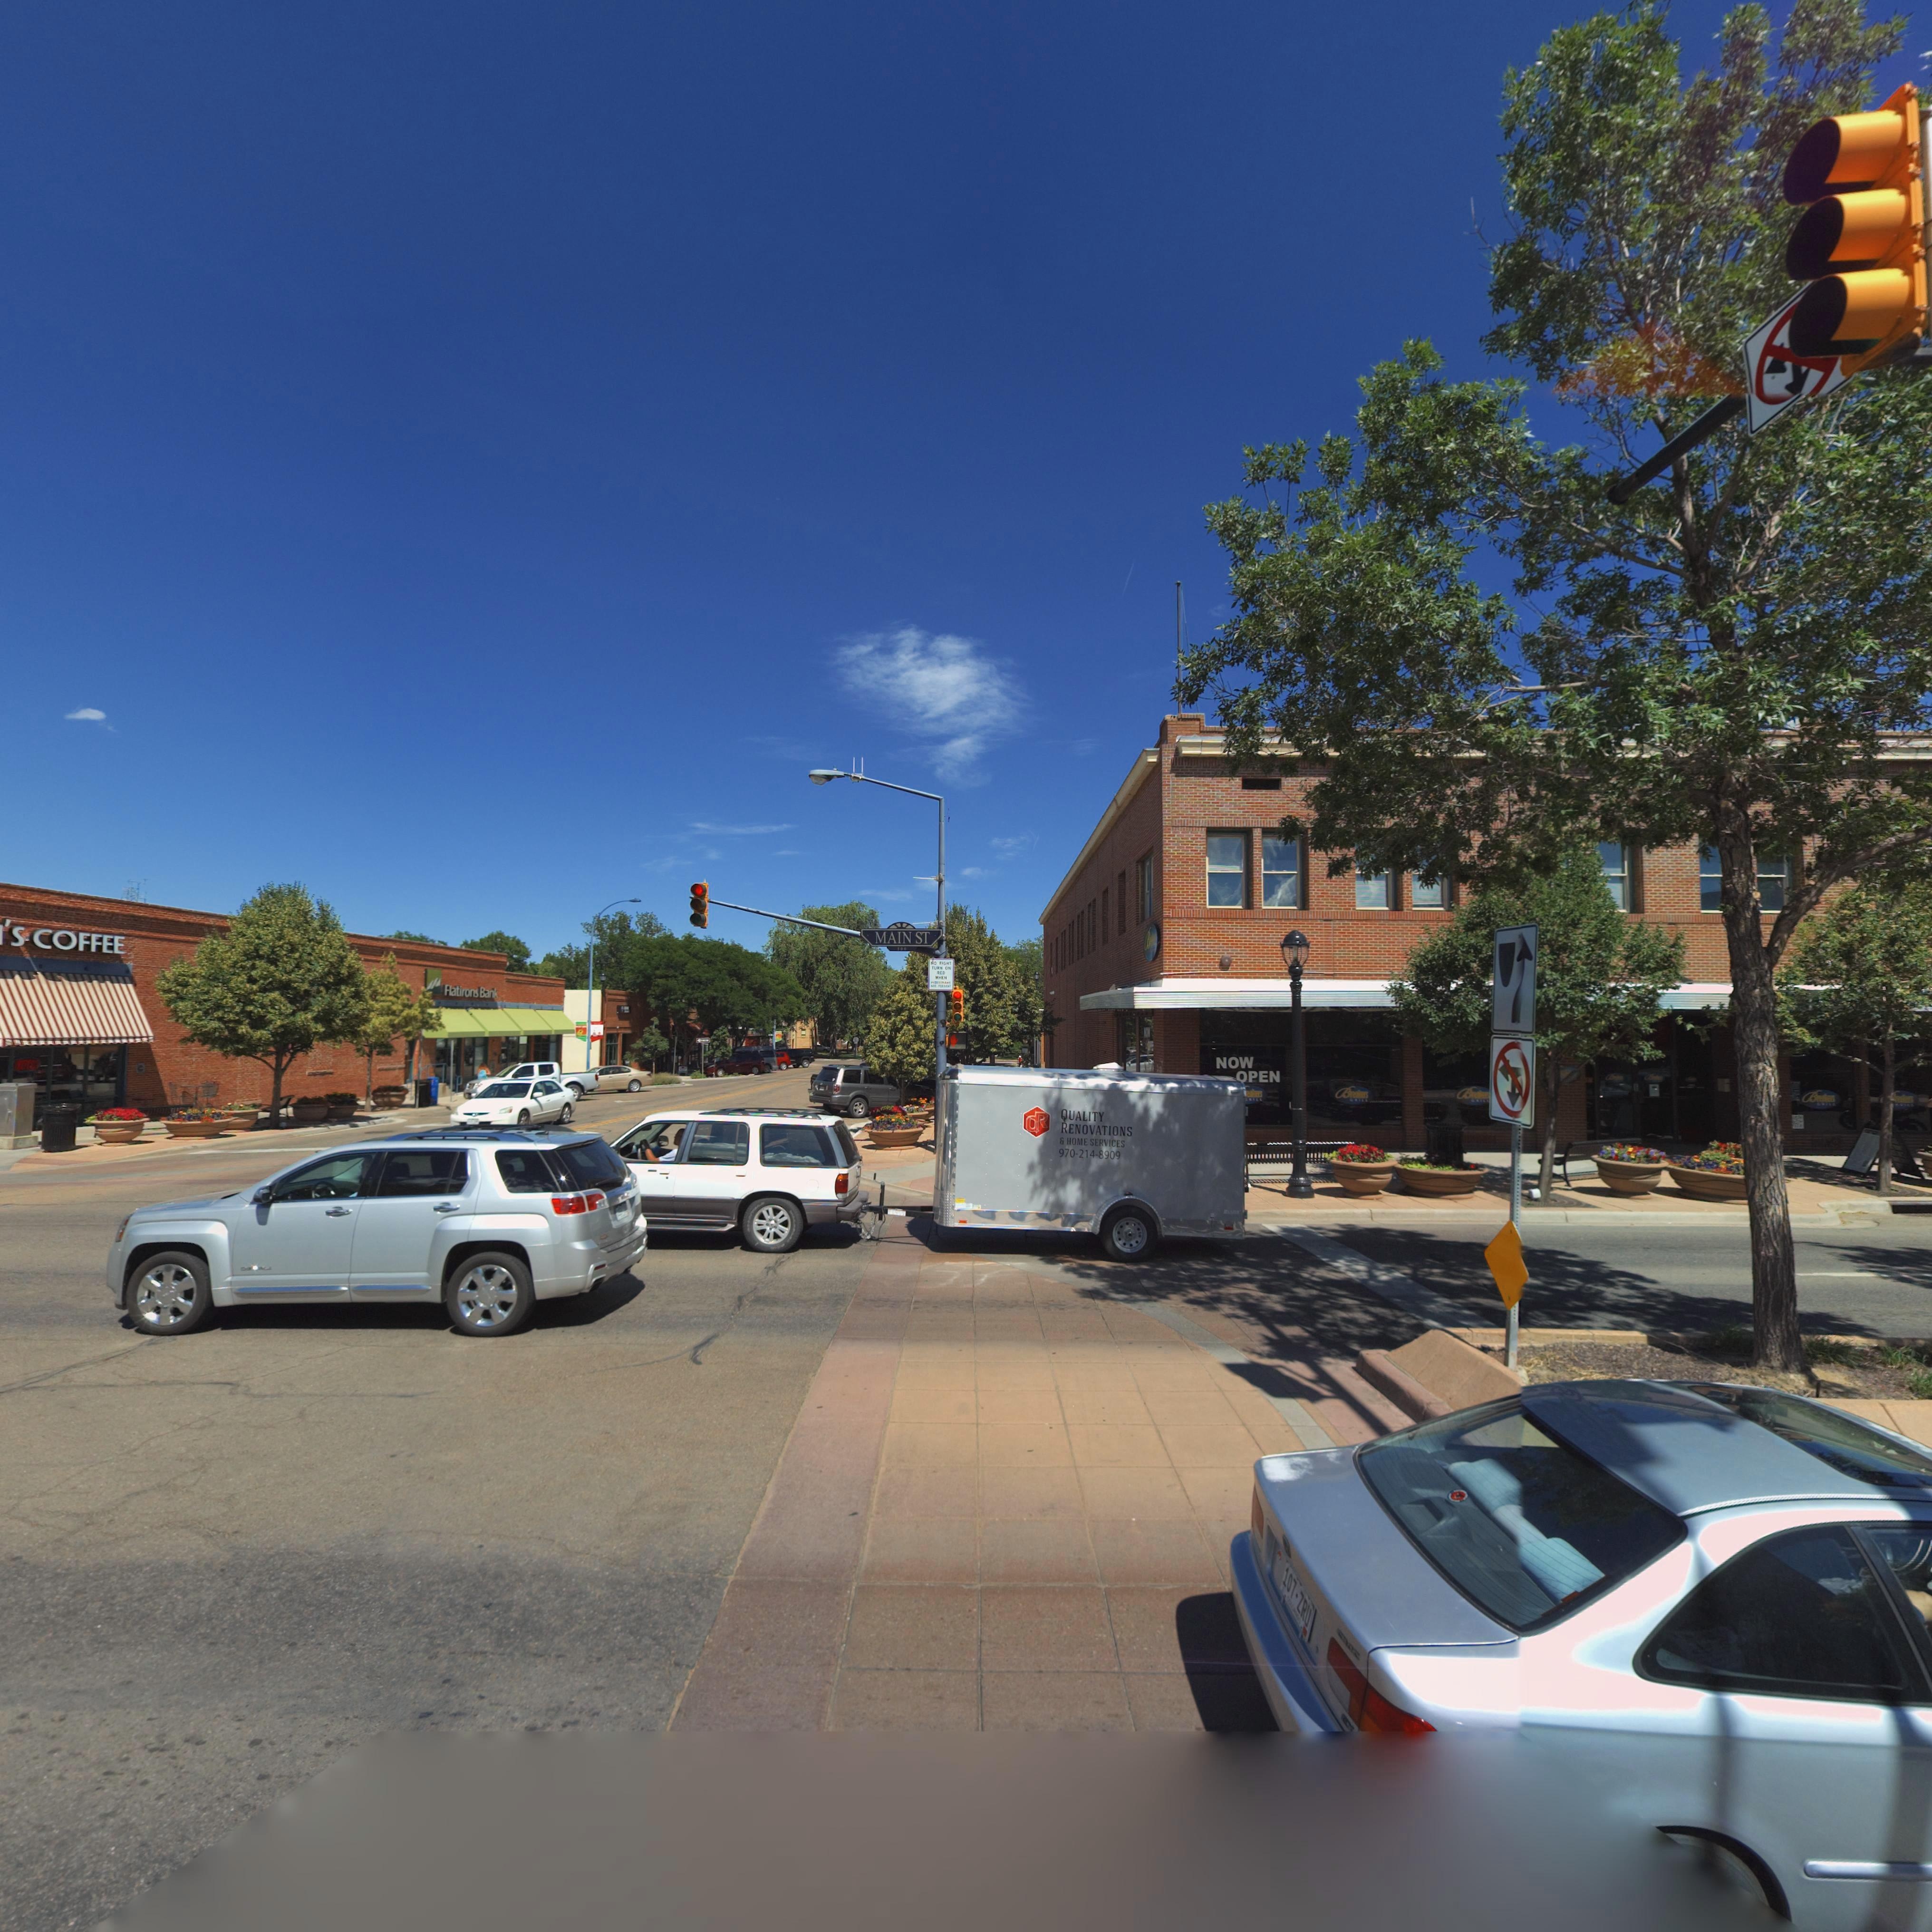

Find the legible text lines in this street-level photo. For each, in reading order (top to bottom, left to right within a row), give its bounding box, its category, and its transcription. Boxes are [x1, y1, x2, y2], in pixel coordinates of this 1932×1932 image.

[3, 918, 126, 955] BusinessName: *S COFFEE
[874, 931, 930, 944] StreetName: MAIN ST
[897, 947, 907, 950] StreetNumberRange: 500
[444, 984, 498, 998] BusinessName: Flatirons Bank
[1341, 1087, 1368, 1099] BusinessName: Breakers
[1349, 1098, 1368, 1102] BusinessName: GRILL
[1462, 1087, 1490, 1099] BusinessName: Breakers
[1807, 1091, 1835, 1102] BusinessName: Breakers
[1816, 1102, 1836, 1106] BusinessName: ***LL